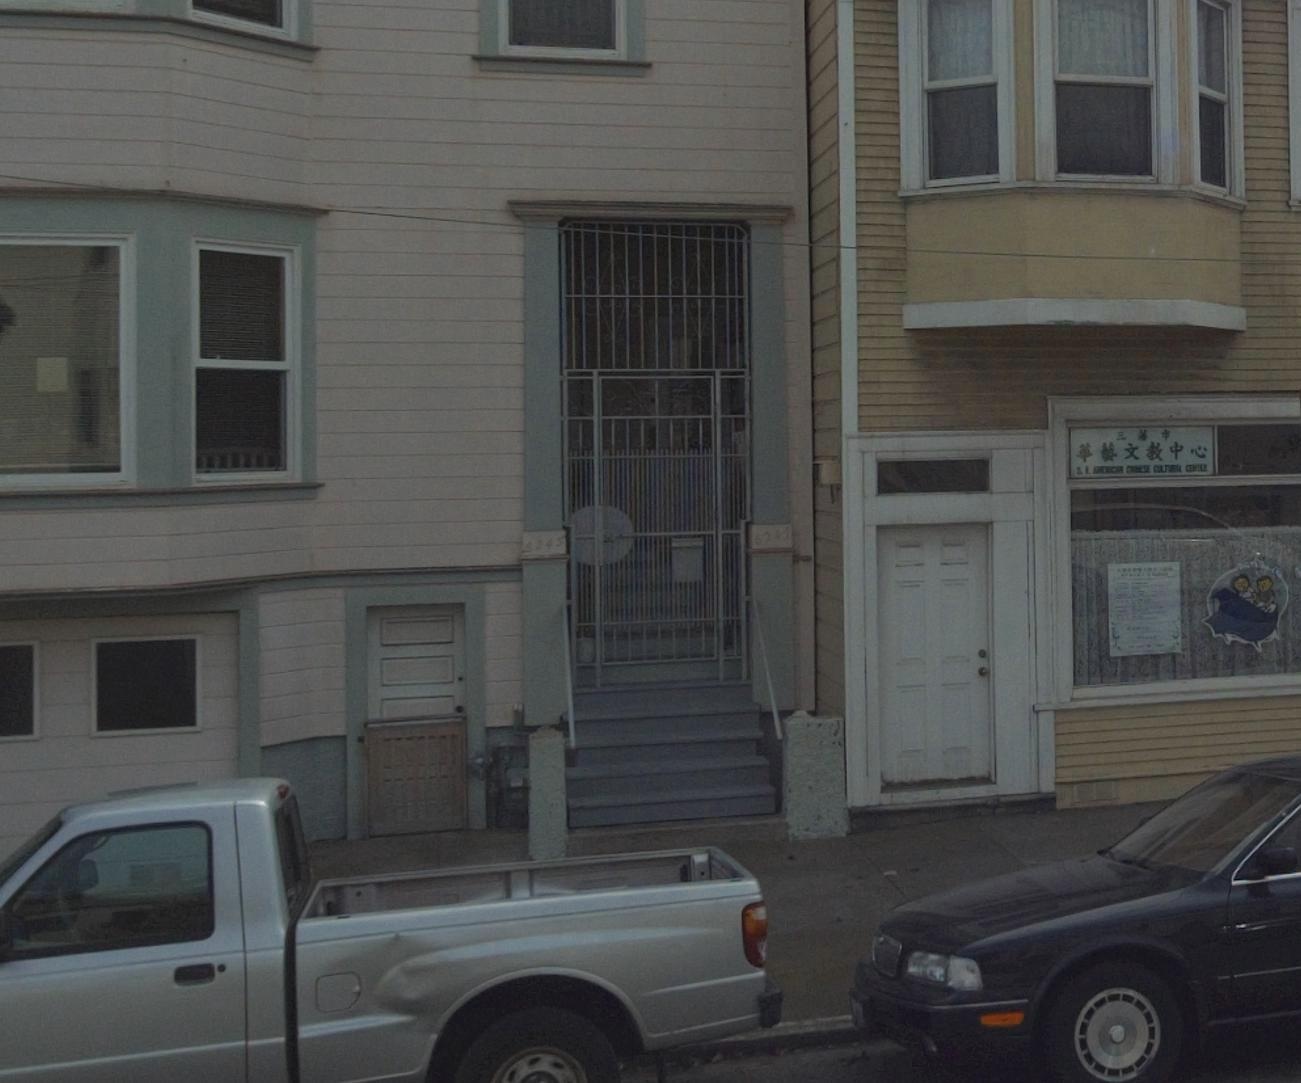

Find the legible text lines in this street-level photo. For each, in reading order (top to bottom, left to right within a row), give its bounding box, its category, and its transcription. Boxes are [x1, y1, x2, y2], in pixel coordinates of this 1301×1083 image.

[1090, 463, 1209, 474] None: AMERICAN CHINESE CULTURAL CENTER
[523, 535, 565, 554] StreetNumber: 6245
[752, 526, 791, 547] StreetNumber: 6241